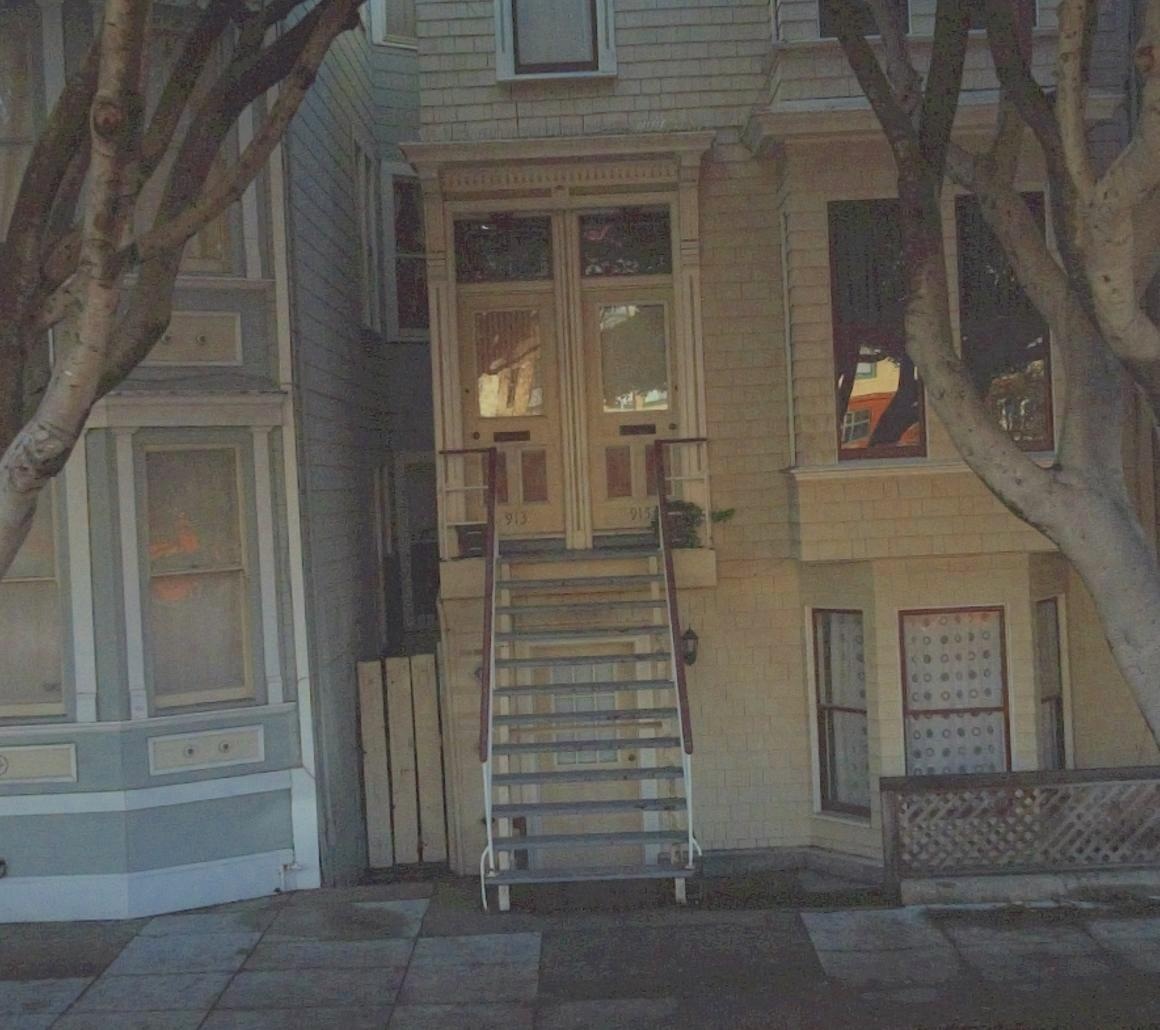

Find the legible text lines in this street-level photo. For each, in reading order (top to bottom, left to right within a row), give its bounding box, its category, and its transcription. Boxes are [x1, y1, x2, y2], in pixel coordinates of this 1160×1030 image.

[504, 510, 528, 526] StreetNumber: 913
[628, 506, 651, 521] StreetNumber: 915